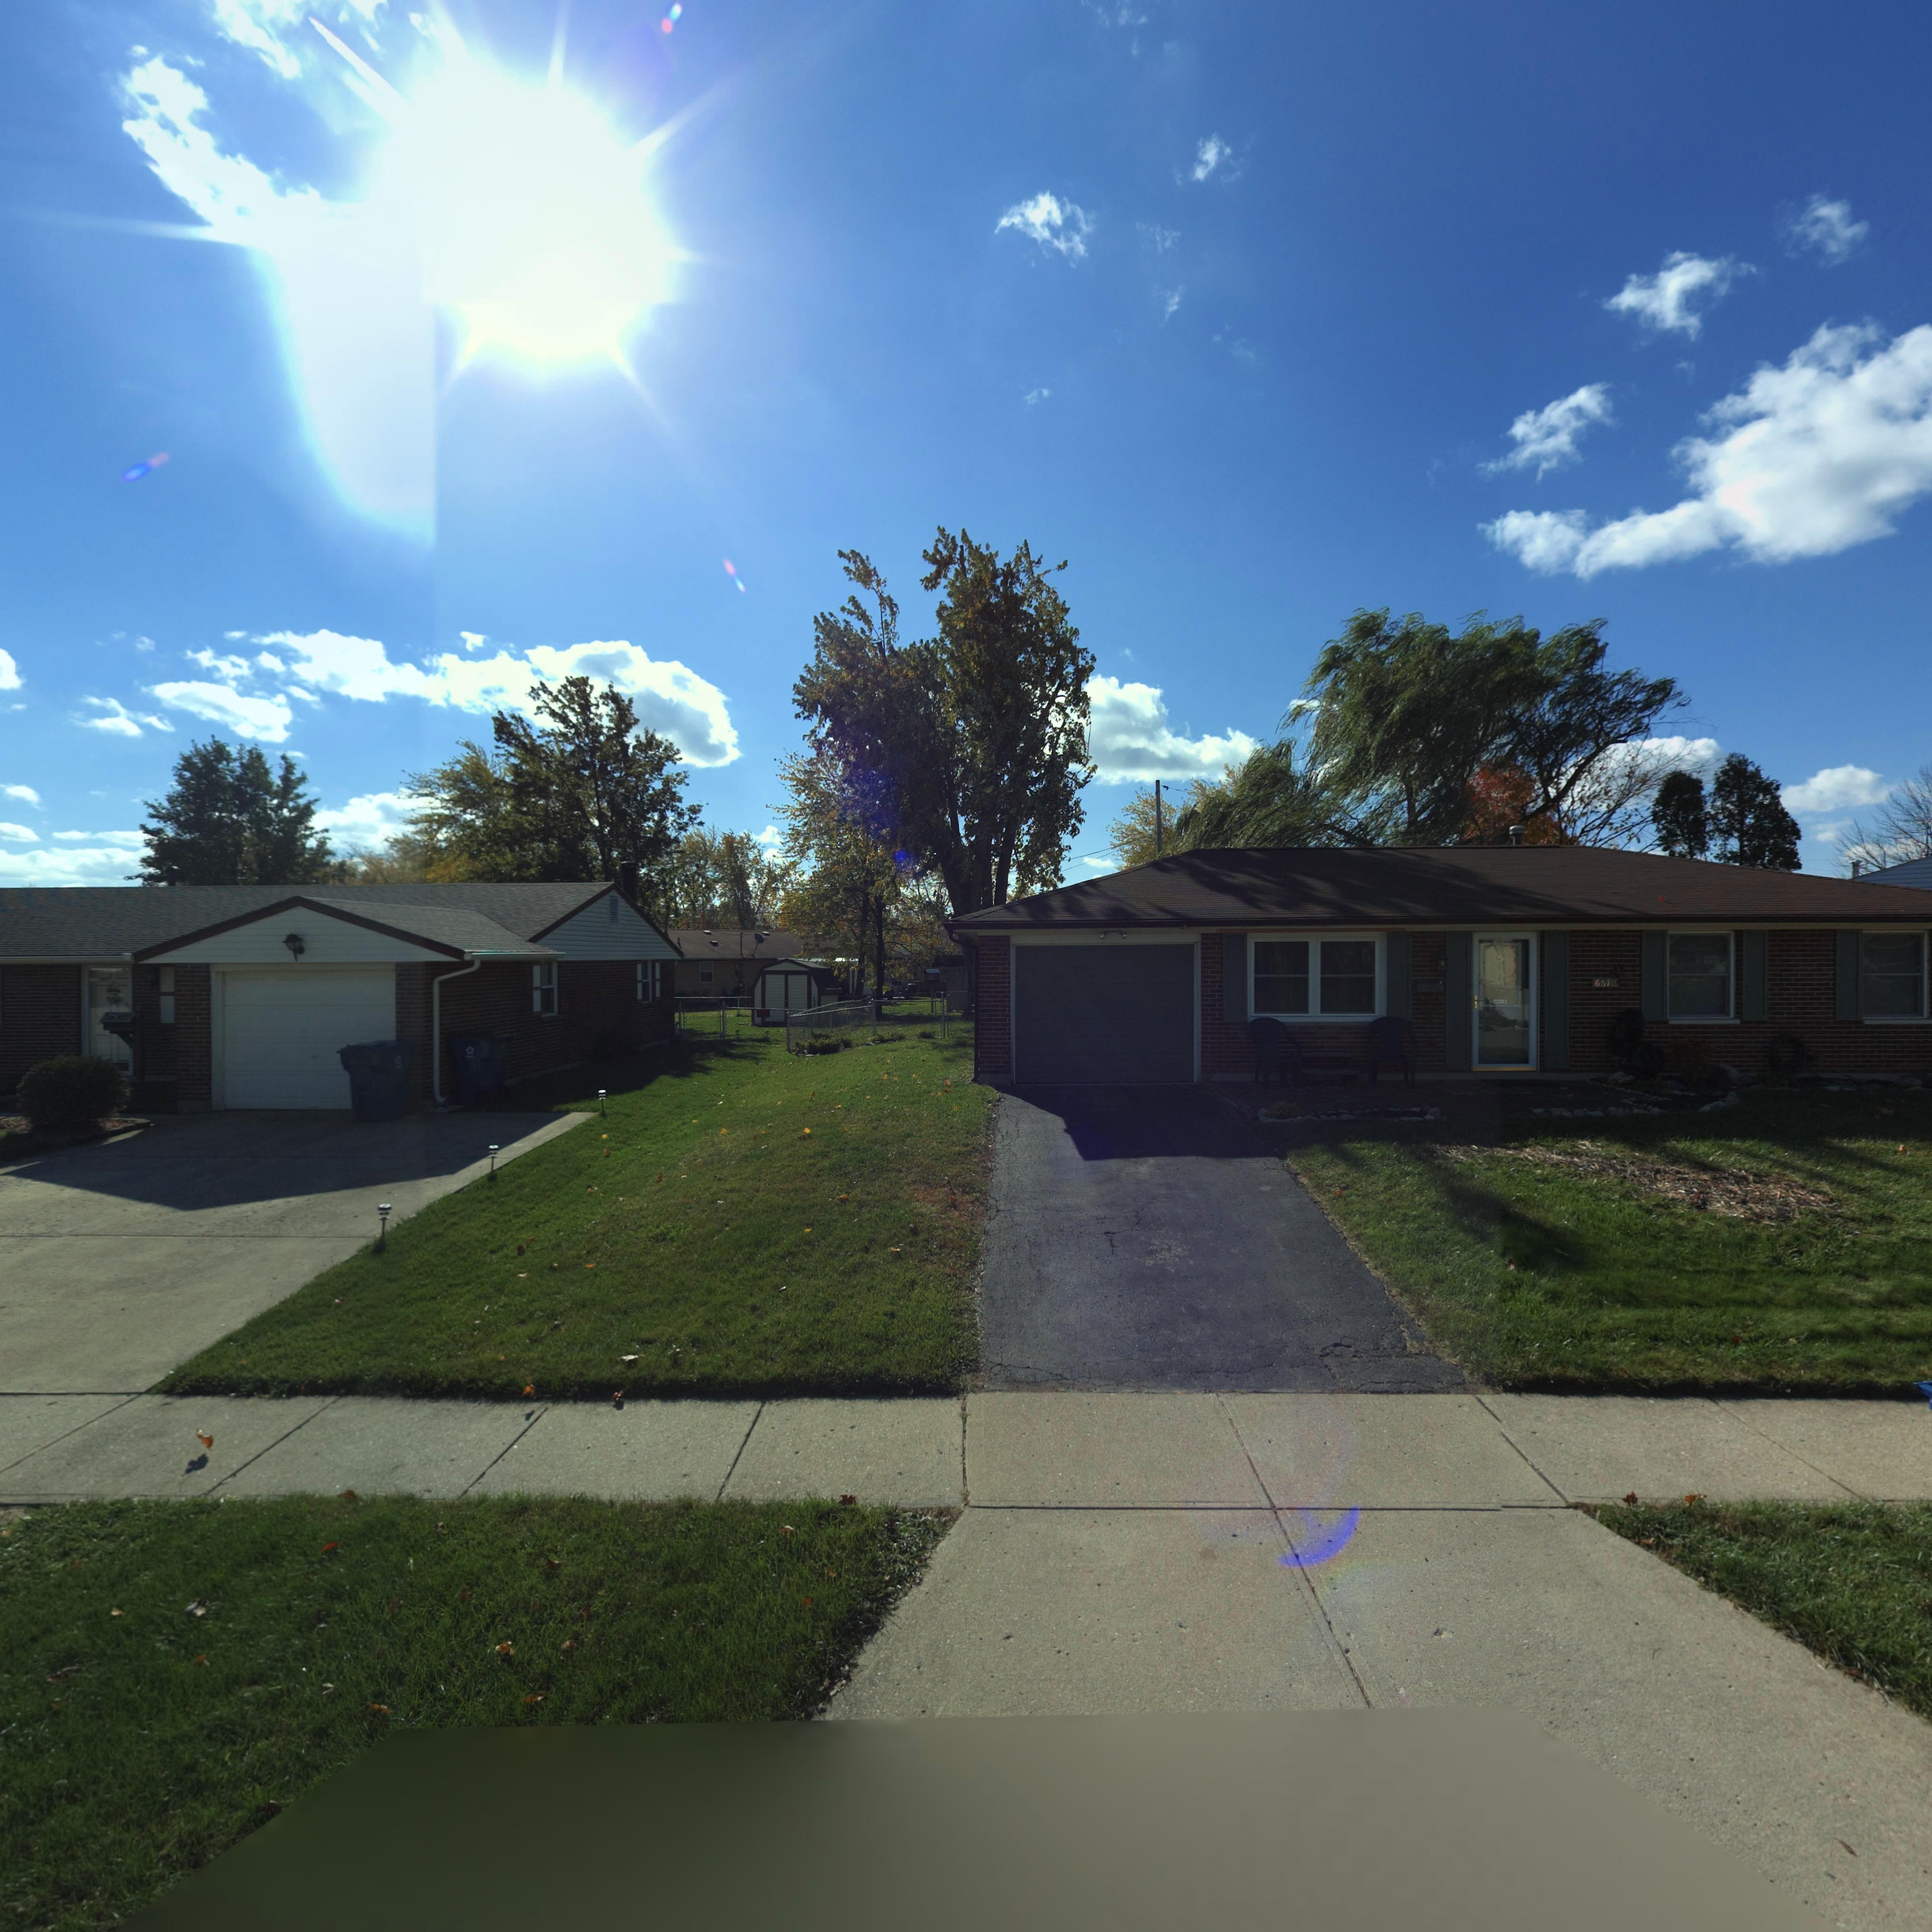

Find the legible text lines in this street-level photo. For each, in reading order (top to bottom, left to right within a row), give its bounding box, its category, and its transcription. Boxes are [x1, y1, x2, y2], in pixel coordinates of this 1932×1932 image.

[1594, 978, 1617, 987] StreetNumber: 6670